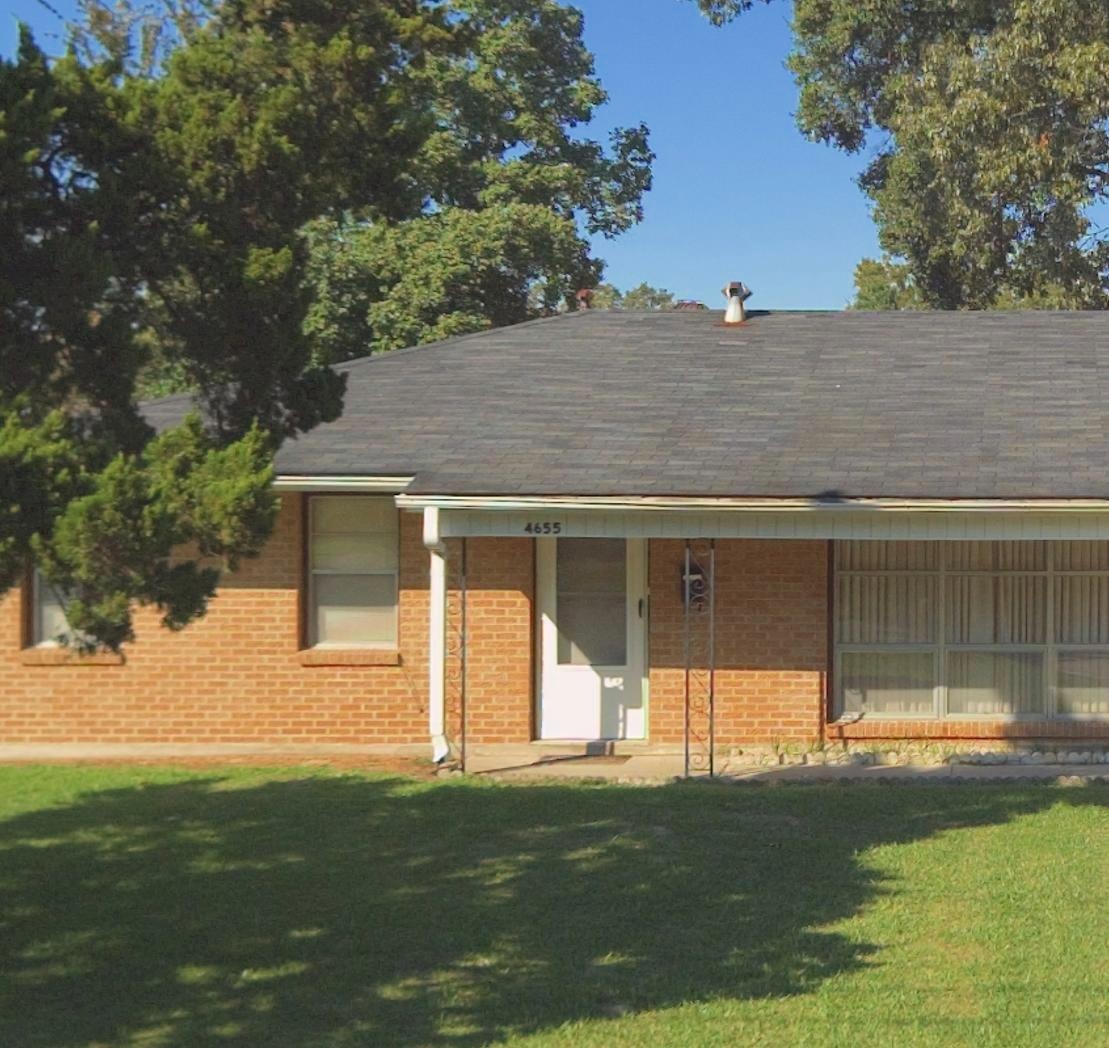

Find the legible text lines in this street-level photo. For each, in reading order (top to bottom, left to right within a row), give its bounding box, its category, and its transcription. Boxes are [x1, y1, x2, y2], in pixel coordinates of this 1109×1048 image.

[524, 521, 561, 535] StreetNumber: 4655